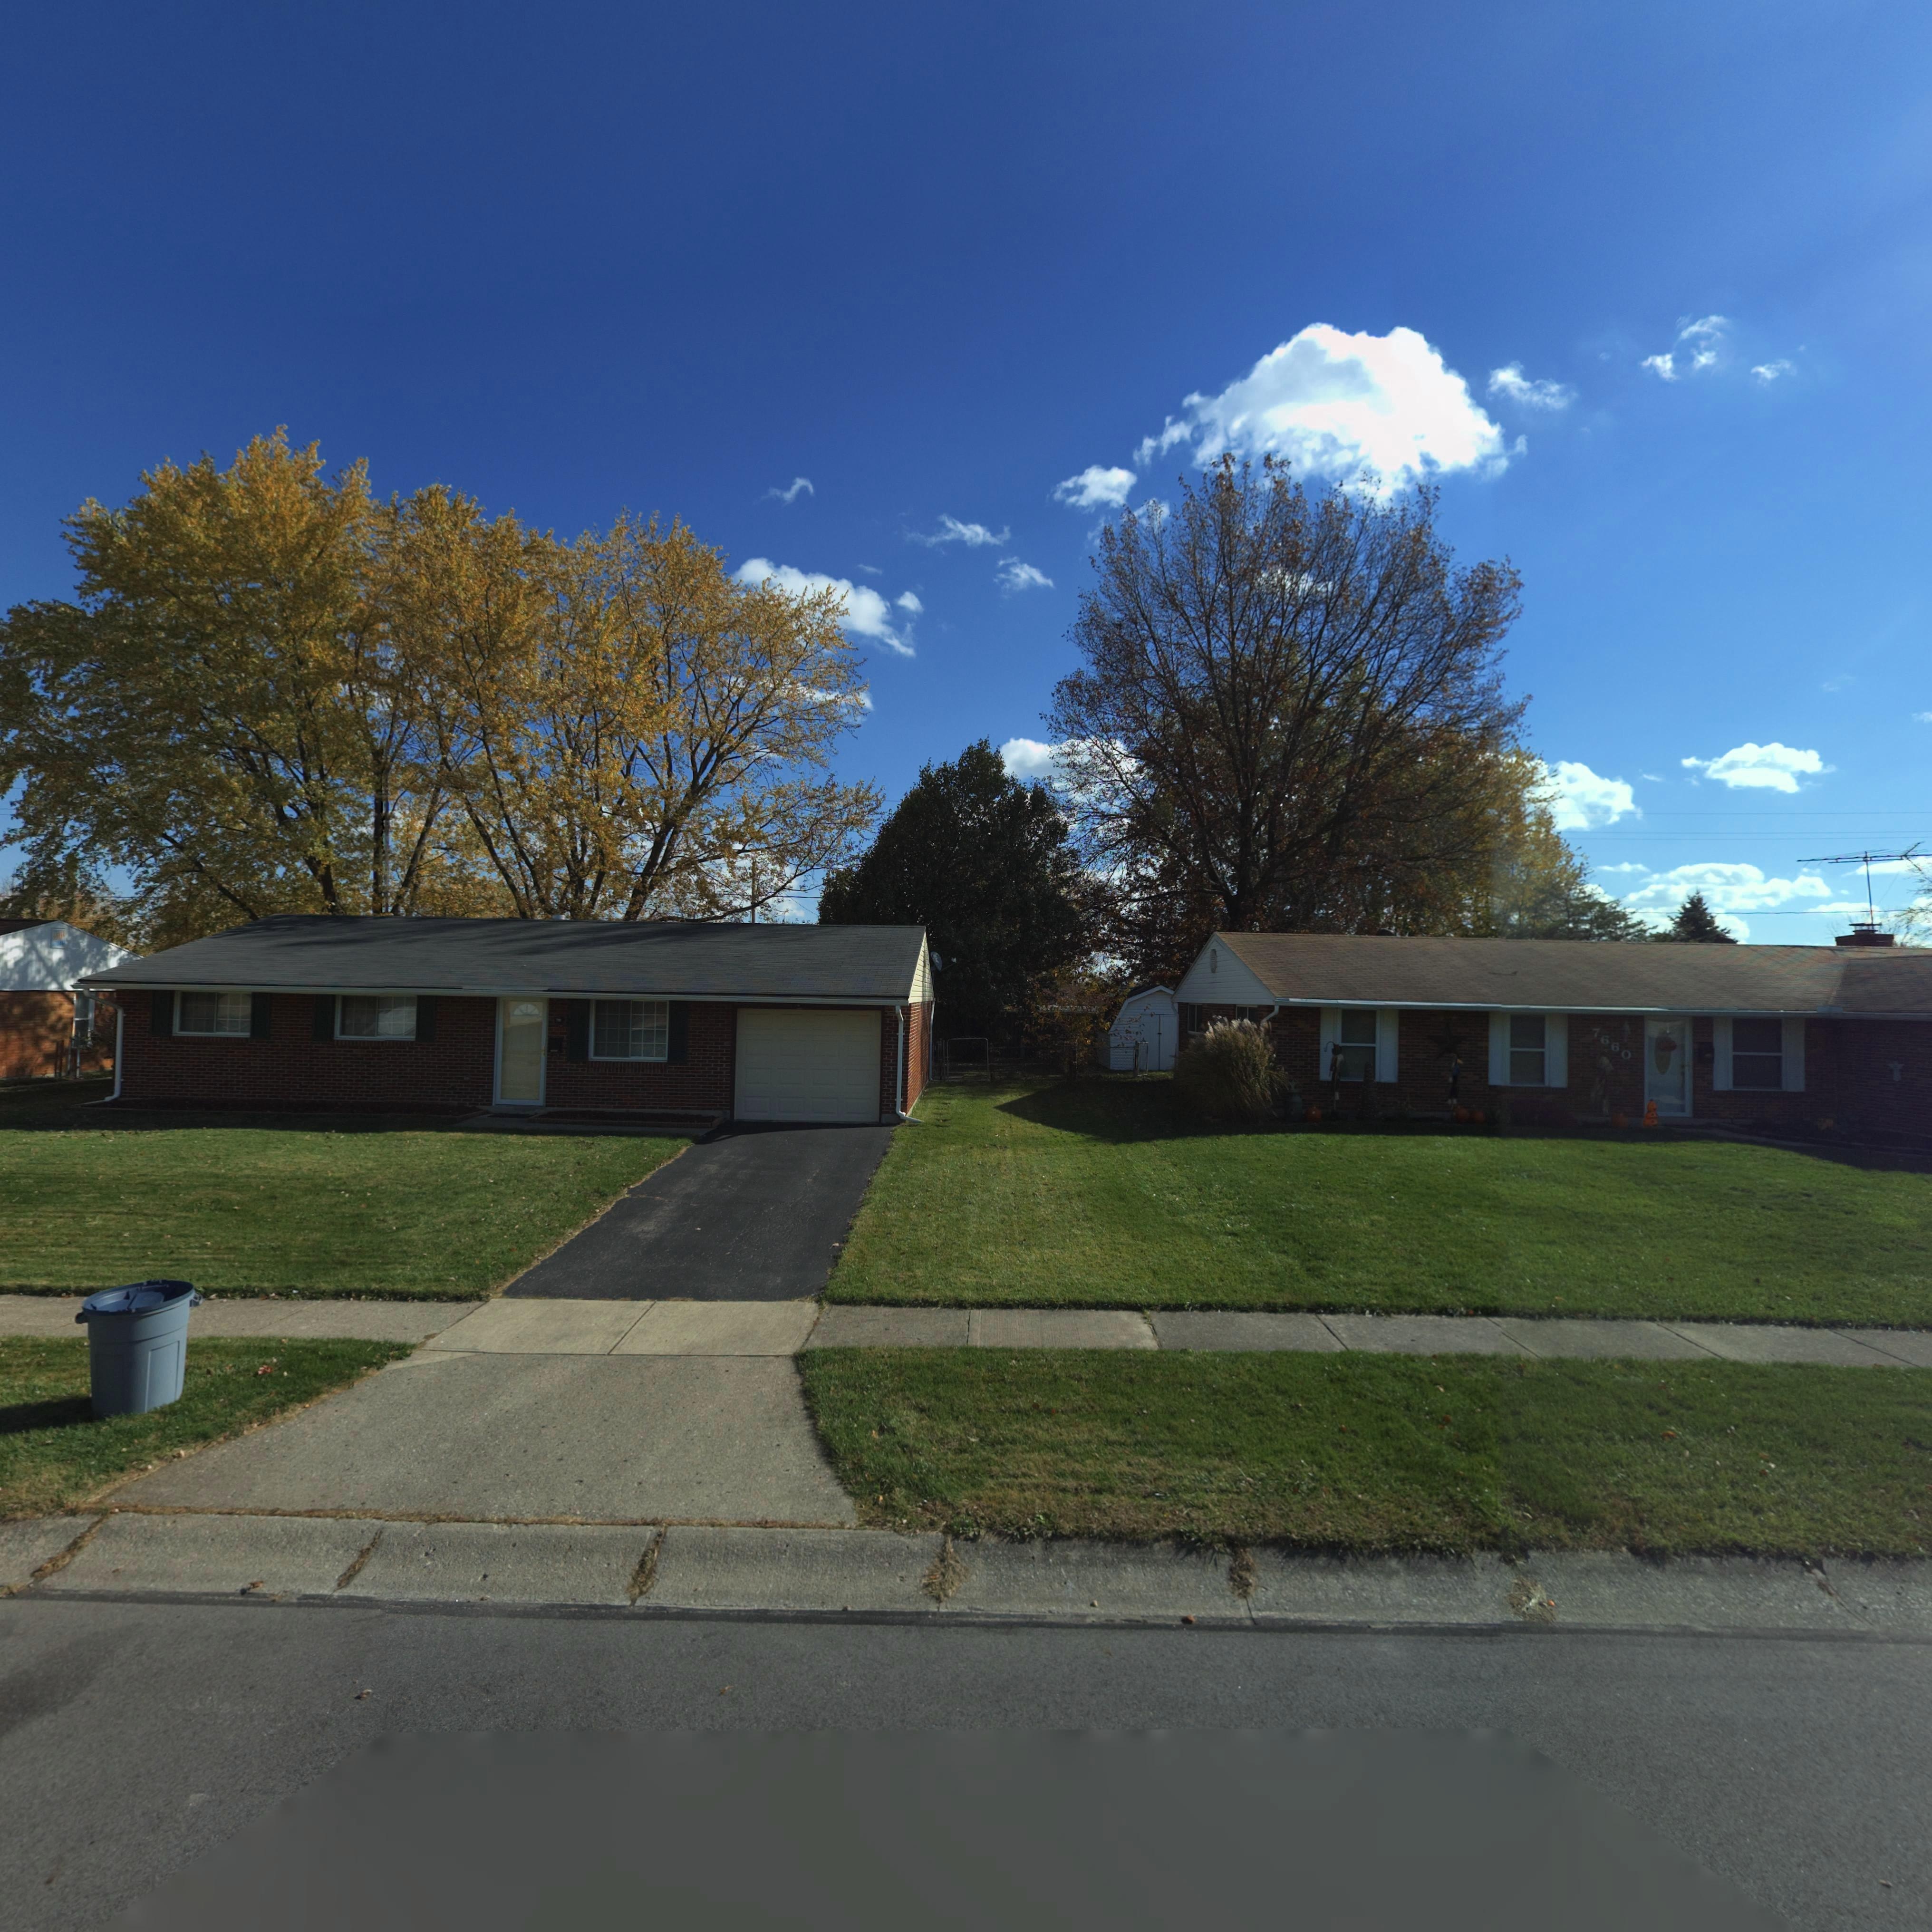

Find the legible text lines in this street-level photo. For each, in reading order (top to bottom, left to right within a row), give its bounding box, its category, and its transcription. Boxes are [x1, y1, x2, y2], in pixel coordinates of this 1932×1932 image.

[1591, 1027, 1633, 1061] StreetNumber: 7660